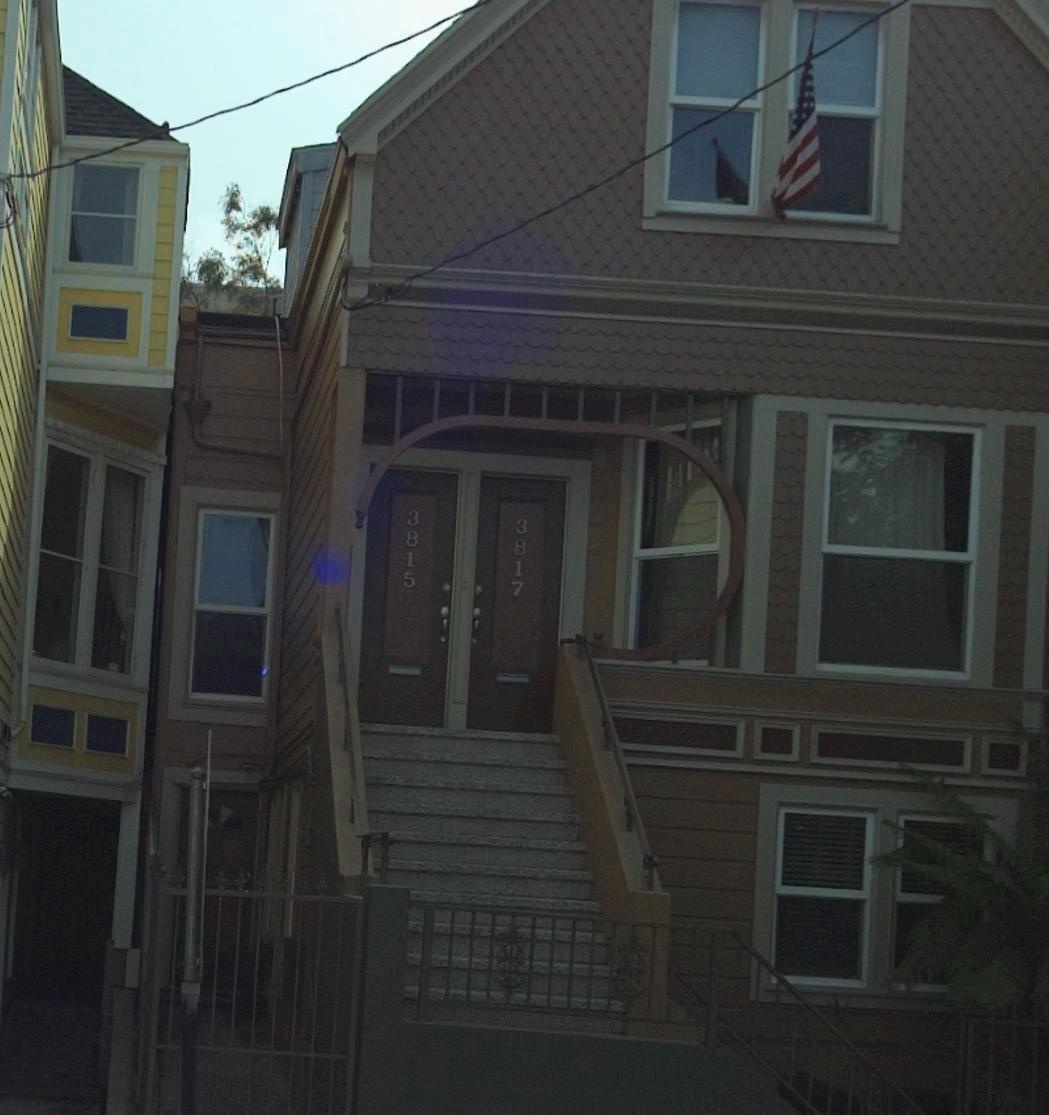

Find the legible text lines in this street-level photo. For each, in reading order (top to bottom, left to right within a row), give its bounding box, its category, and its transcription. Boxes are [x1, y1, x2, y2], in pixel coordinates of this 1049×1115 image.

[401, 509, 420, 590] StreetNumber: 3815
[509, 518, 529, 598] StreetNumber: 3817